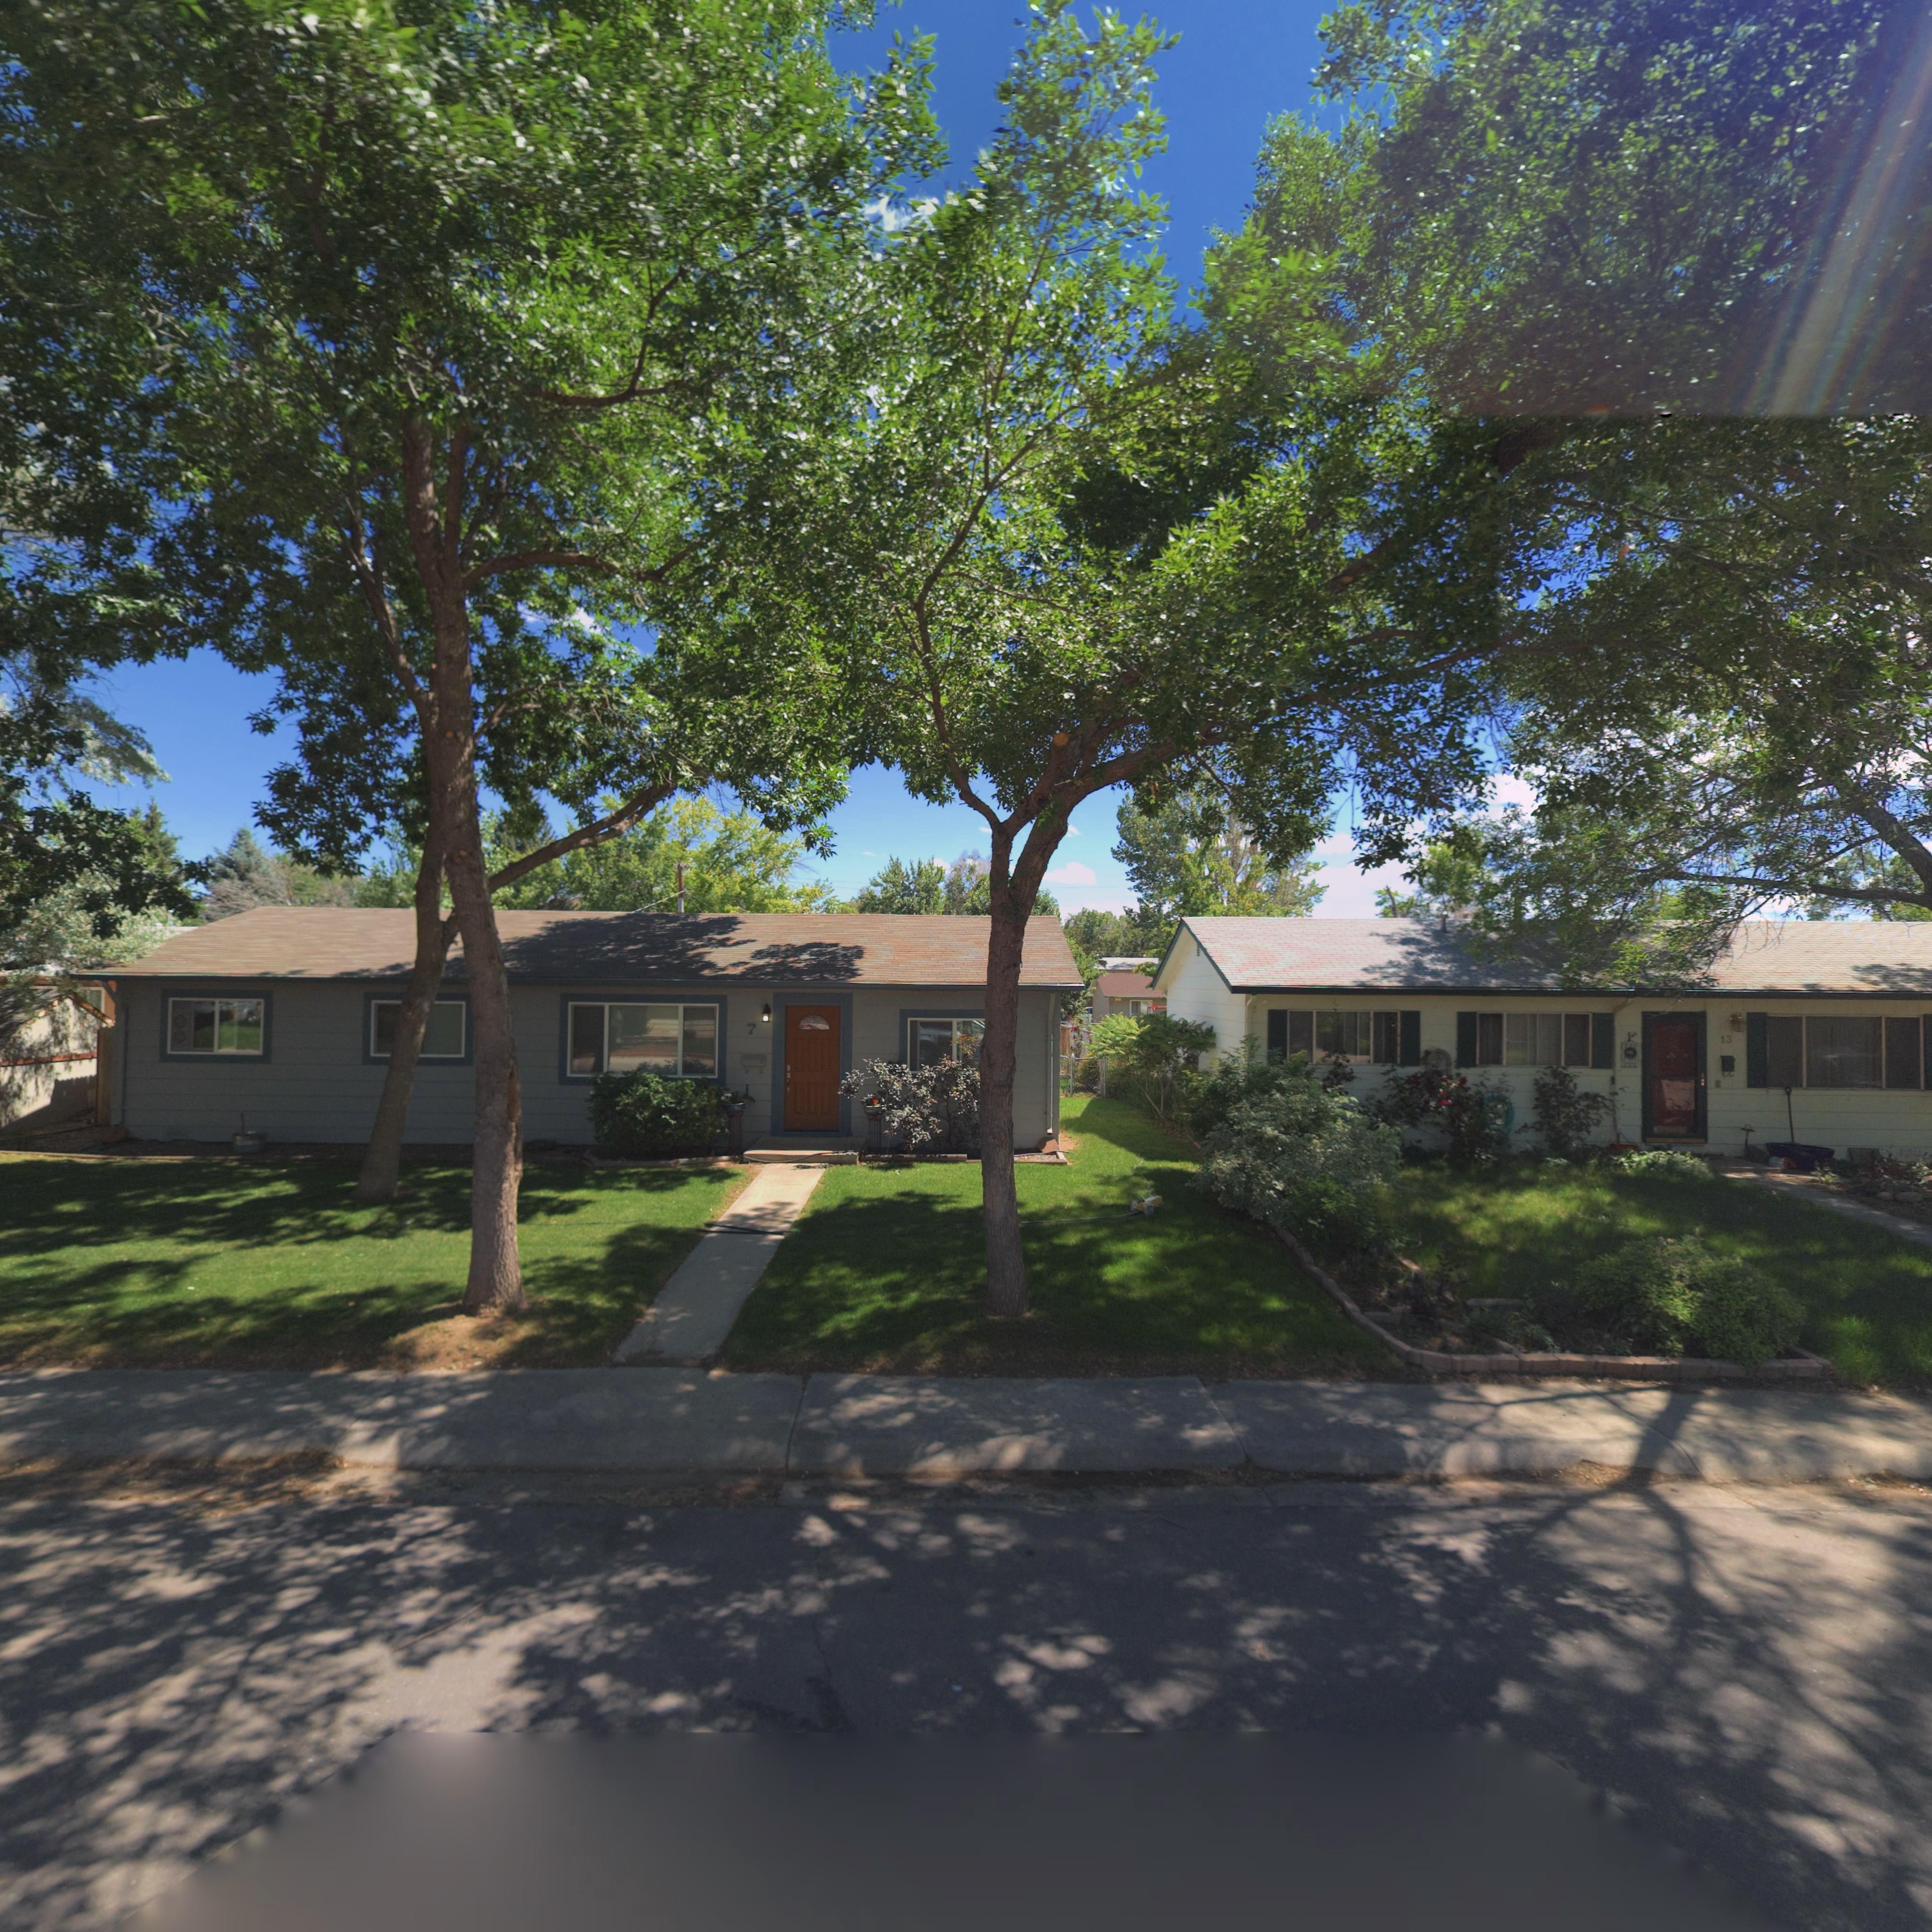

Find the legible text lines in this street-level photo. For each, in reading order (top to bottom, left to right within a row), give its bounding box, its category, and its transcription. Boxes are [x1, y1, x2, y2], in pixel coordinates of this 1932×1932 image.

[747, 1023, 757, 1035] StreetNumber: 7
[1720, 1034, 1733, 1043] StreetNumber: 13